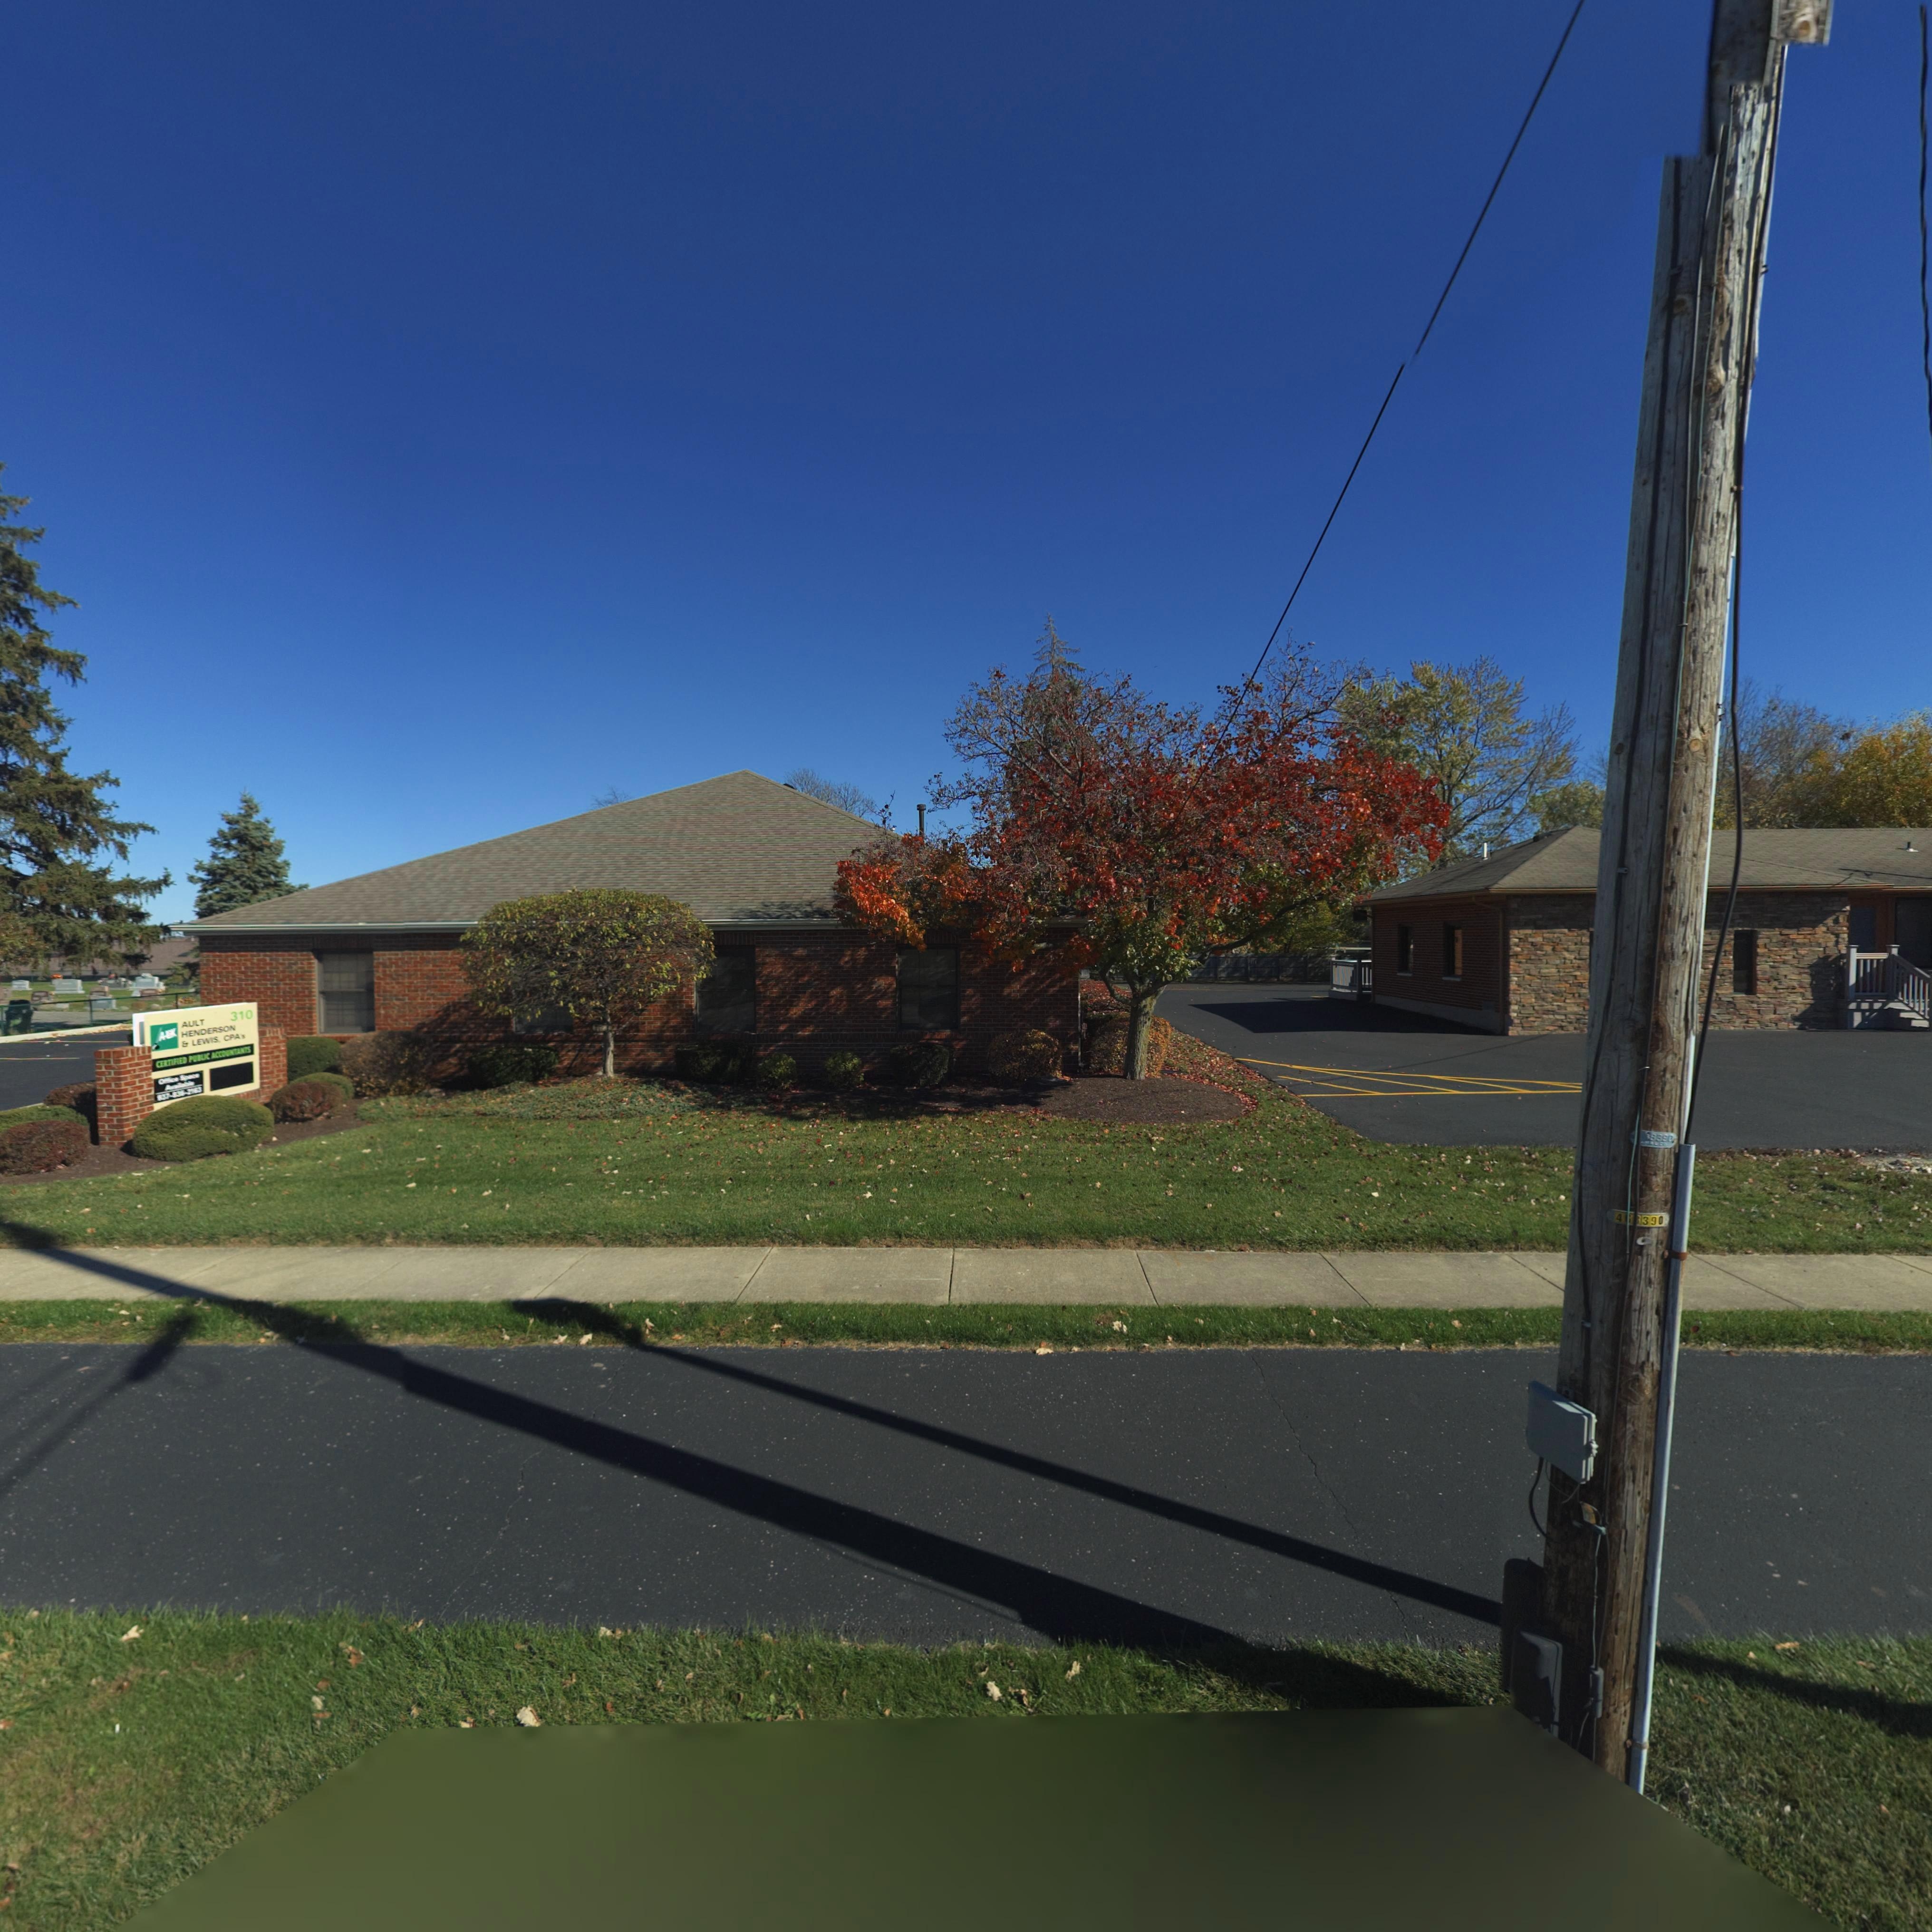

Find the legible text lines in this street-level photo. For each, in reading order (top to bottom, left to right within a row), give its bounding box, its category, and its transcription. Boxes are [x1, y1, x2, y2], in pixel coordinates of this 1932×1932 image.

[230, 1009, 254, 1023] StreetNumber: 310
[181, 1018, 205, 1029] BusinessName: AULT
[158, 1030, 166, 1043] None: A
[180, 1024, 236, 1039] BusinessName: HENDERSON
[180, 1033, 246, 1048] BusinessName: LEWIS, CPA's
[158, 1045, 252, 1069] None: CERTIFIED PUBLIC ACCOUNTANTS
[155, 1085, 203, 1102] None: *37-836-2**3
[1649, 1132, 1675, 1143] None: 9890
[1614, 1212, 1664, 1226] None: 4**390